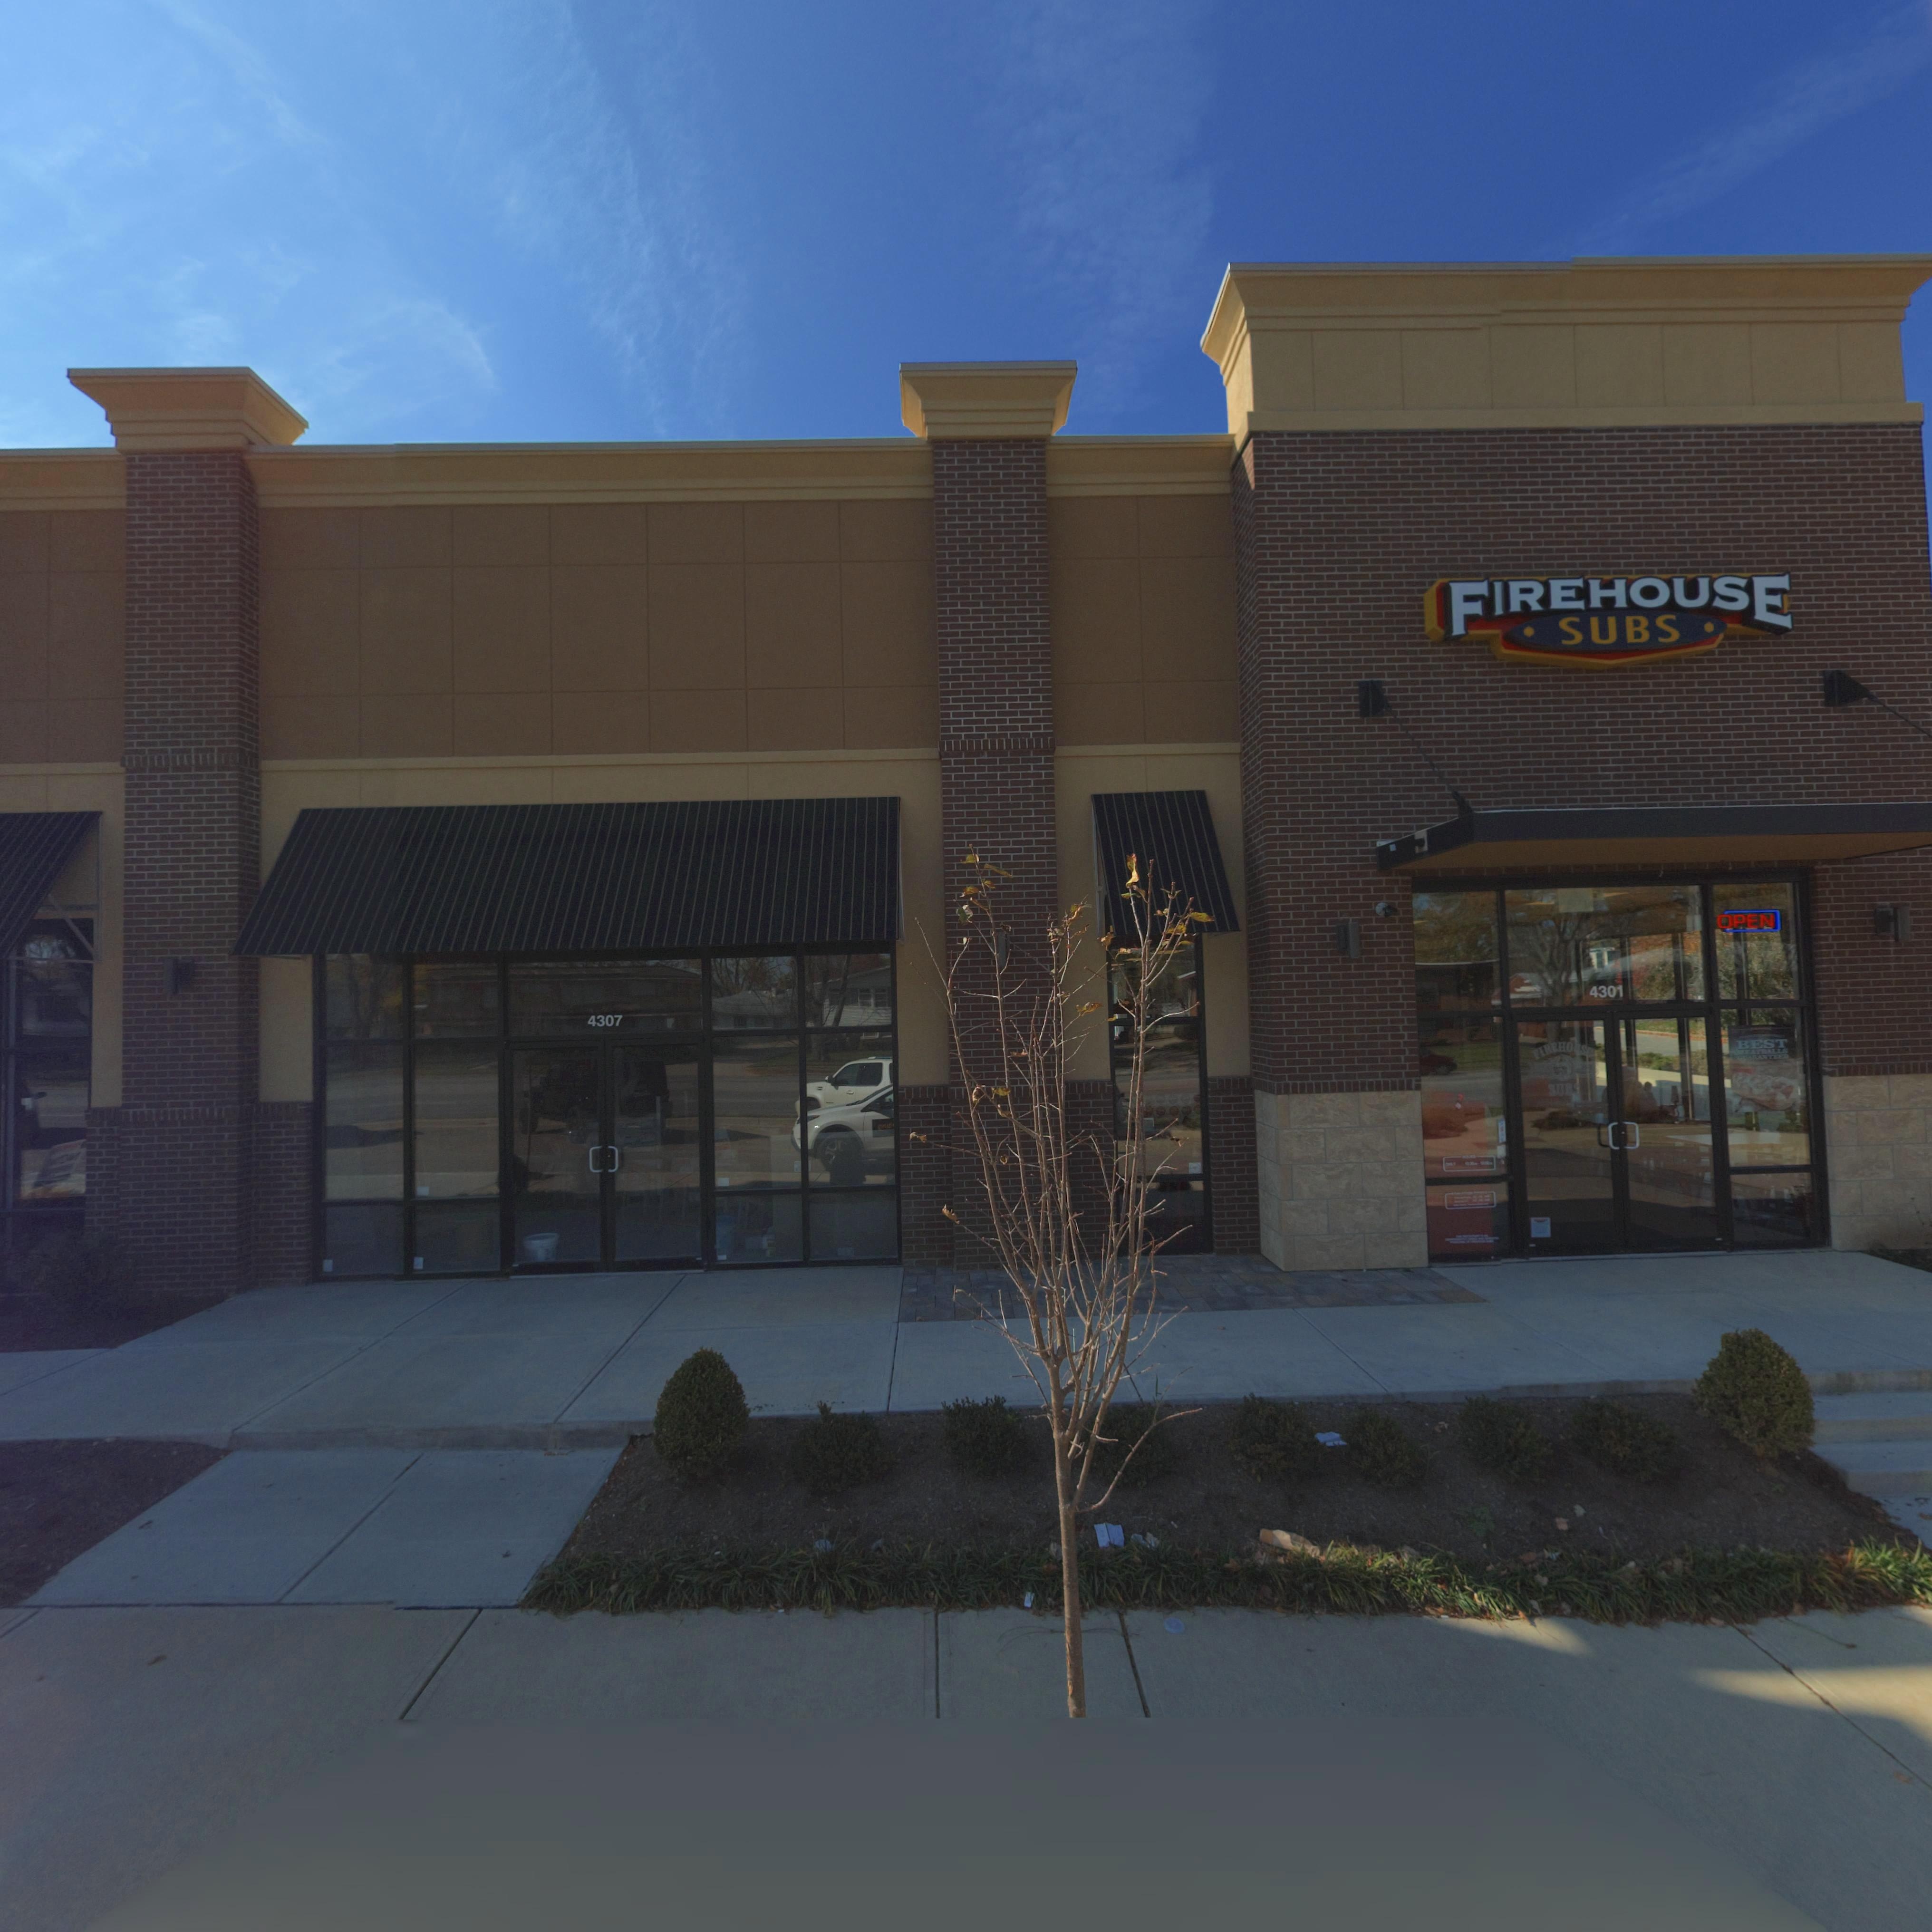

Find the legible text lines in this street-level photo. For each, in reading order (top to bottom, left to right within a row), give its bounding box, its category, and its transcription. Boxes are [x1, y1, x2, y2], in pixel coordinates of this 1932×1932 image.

[1447, 571, 1795, 639] BusinessName: FIREHOUSE
[1557, 611, 1684, 647] BusinessName: SUBS
[1588, 984, 1618, 999] StreetNumber: 430
[586, 1014, 625, 1028] StreetNumber: 4307
[1535, 1041, 1574, 1059] BusinessName: IR*HO
[1546, 1080, 1575, 1099] BusinessName: *U*